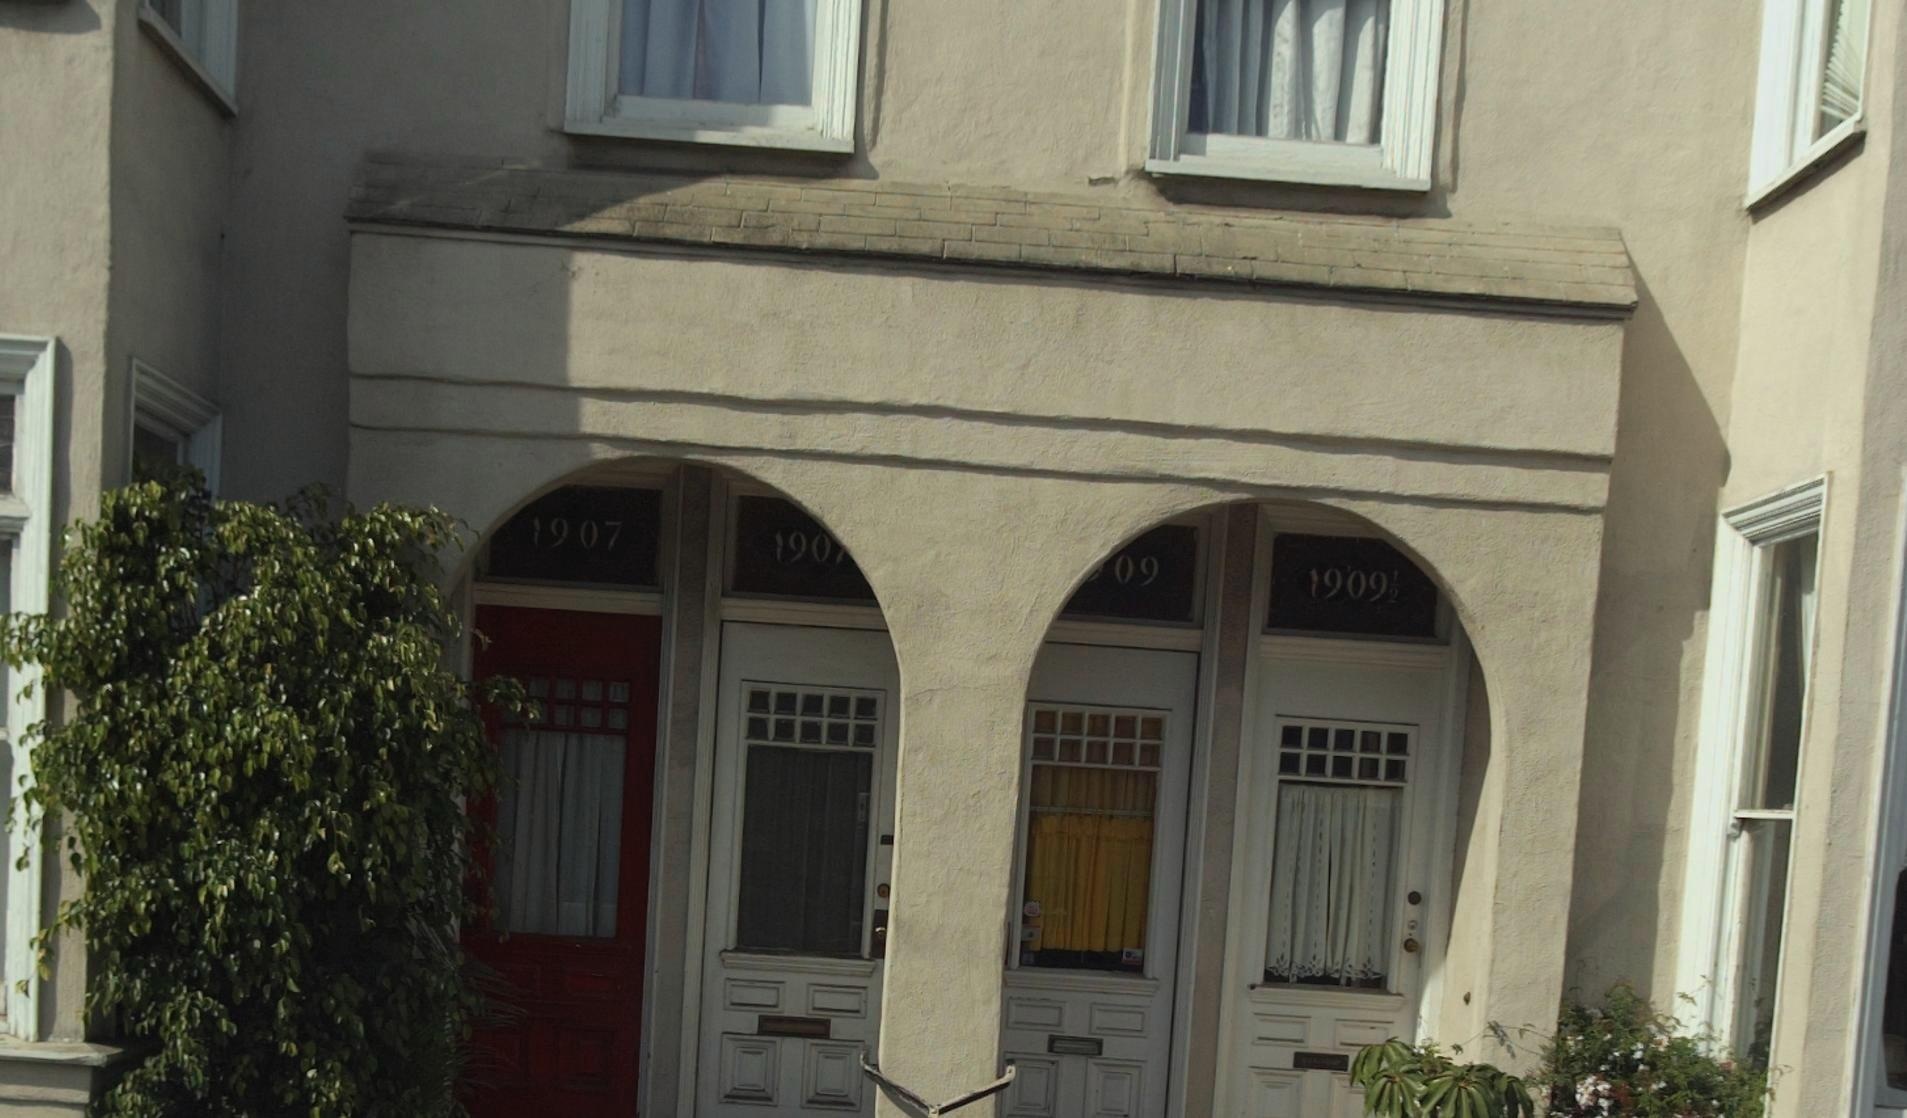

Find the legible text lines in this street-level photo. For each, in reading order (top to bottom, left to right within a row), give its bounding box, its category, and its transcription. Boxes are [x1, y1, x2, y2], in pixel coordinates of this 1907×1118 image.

[529, 513, 629, 555] StreetNumber: 1907
[772, 526, 836, 568] StreetNumber: 190
[1112, 551, 1163, 590] StreetNumber: 09
[1307, 564, 1402, 608] StreetNumber: 1909 1/2